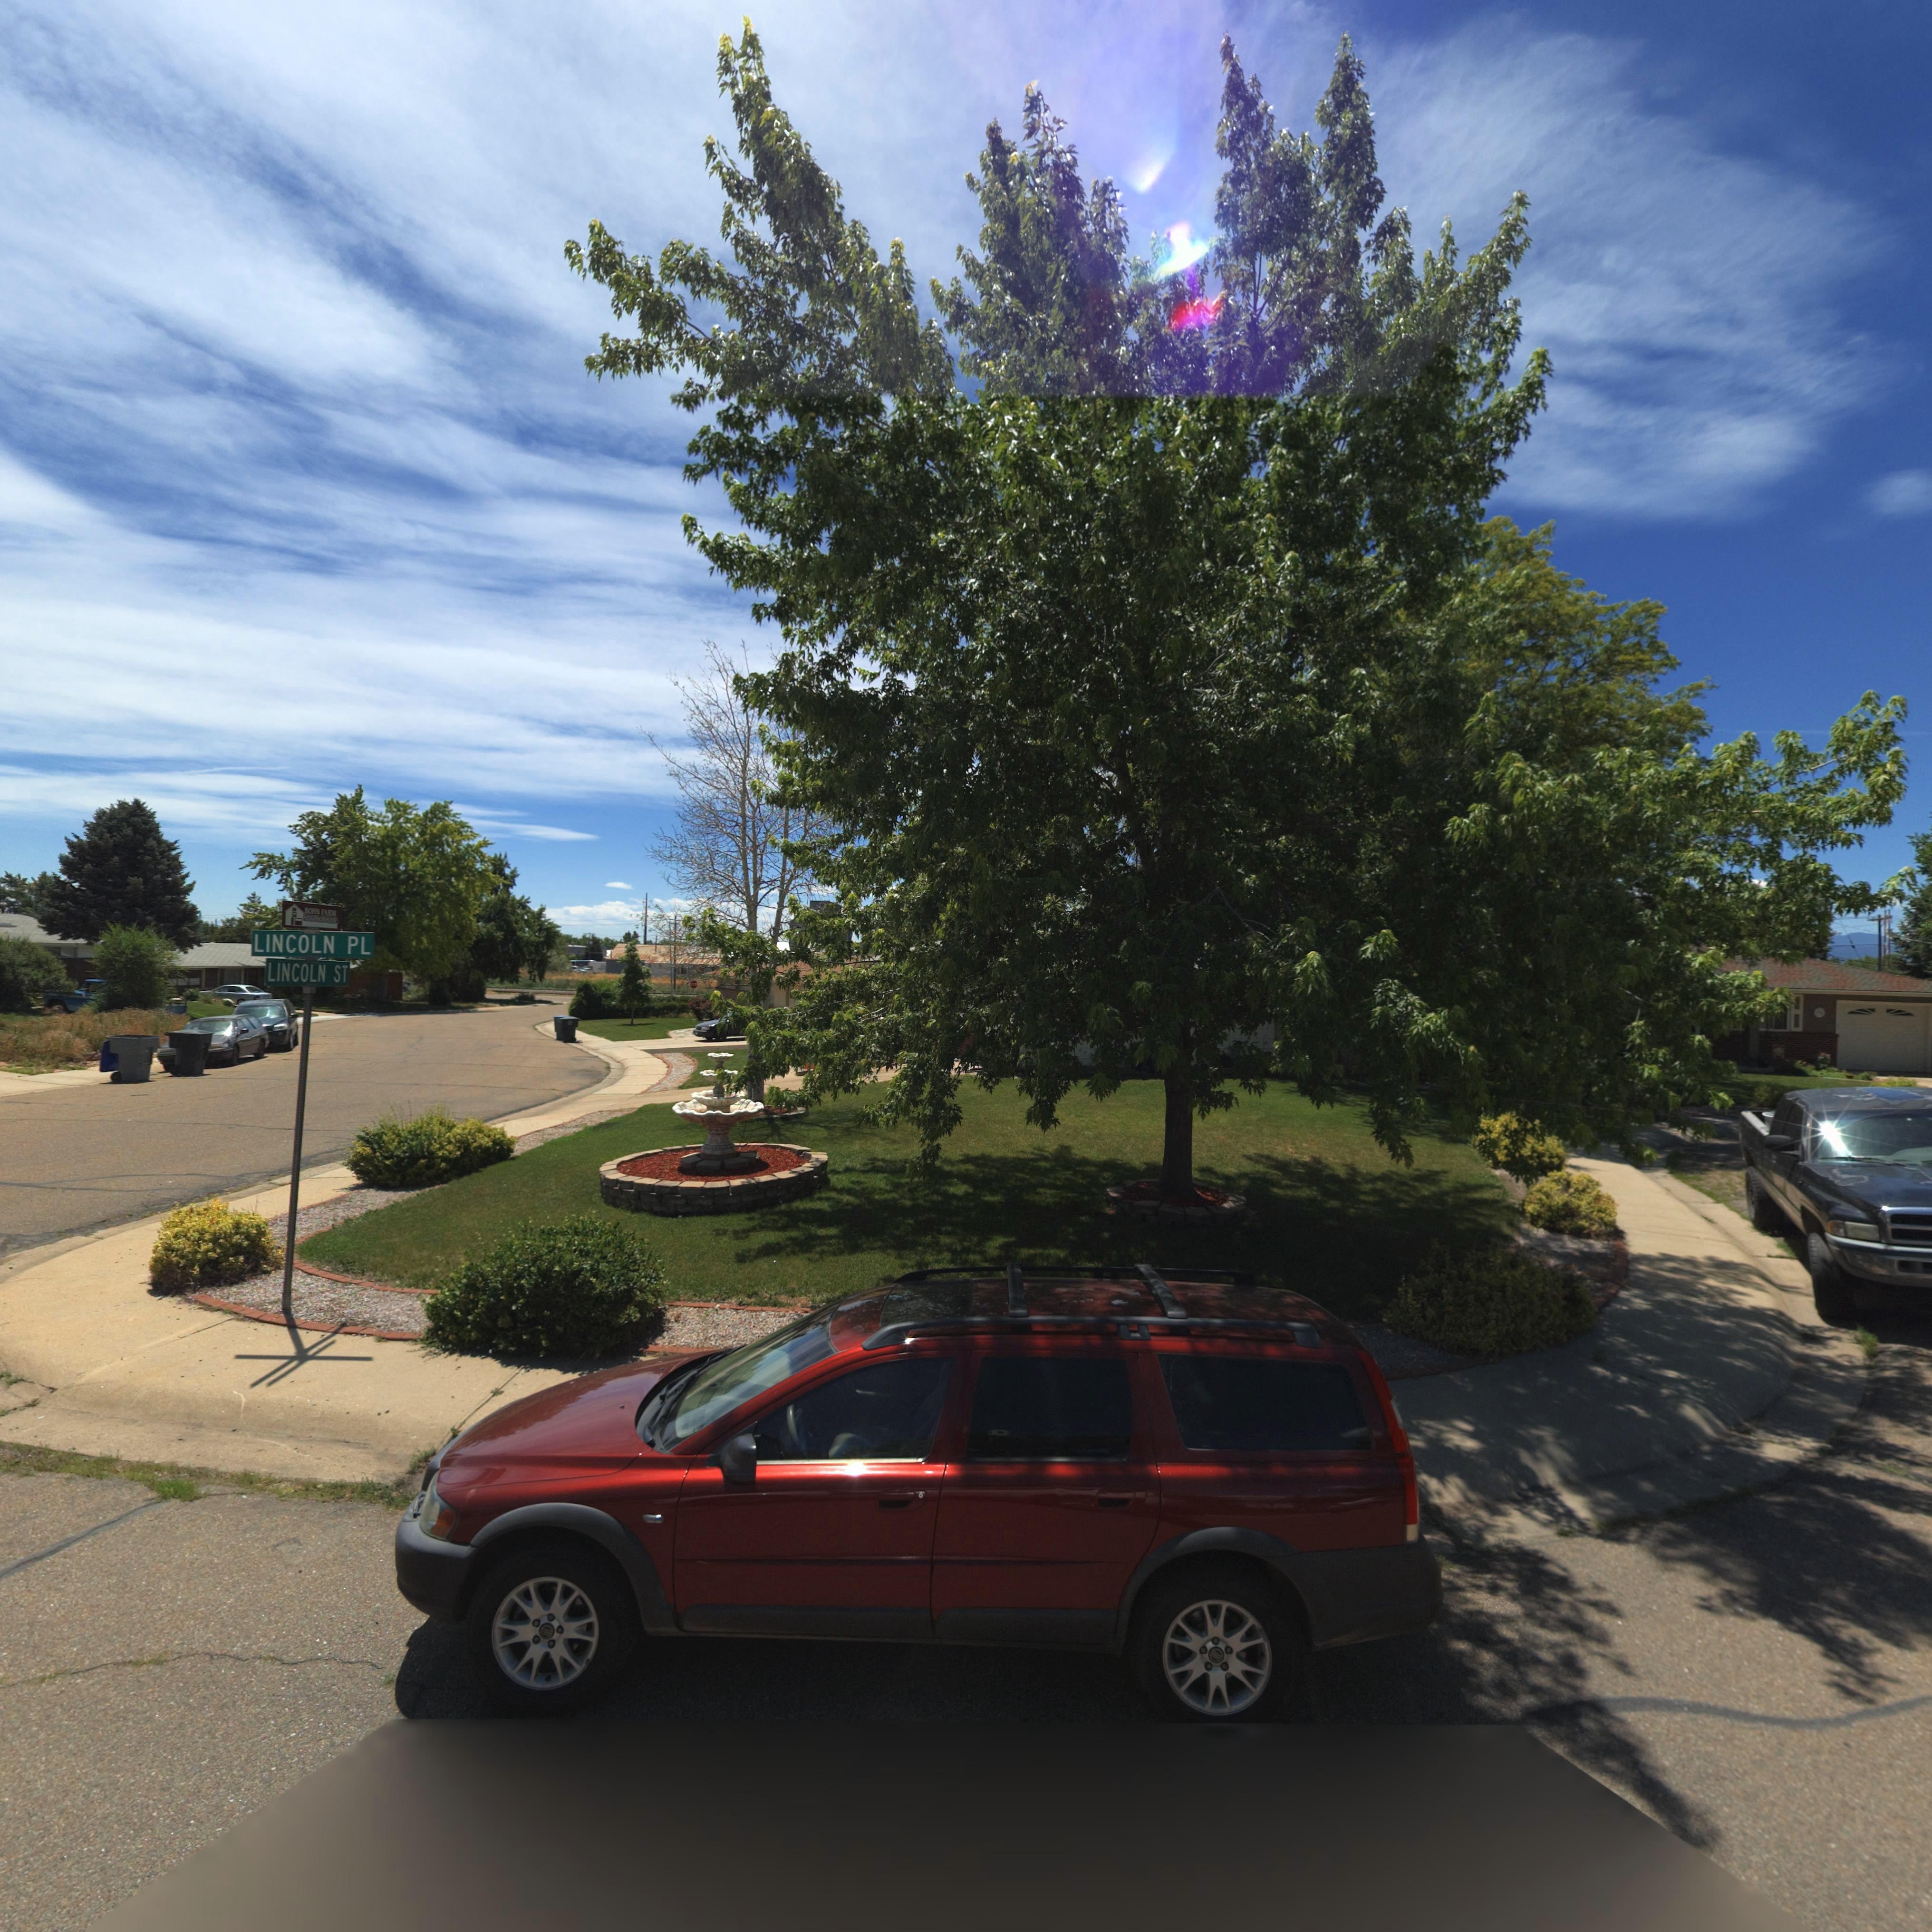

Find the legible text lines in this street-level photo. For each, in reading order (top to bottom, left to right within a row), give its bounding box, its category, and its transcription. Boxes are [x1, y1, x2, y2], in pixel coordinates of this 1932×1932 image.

[254, 933, 371, 955] StreetName: LINCOLN PL
[267, 961, 348, 983] StreetName: LINCOLN ST